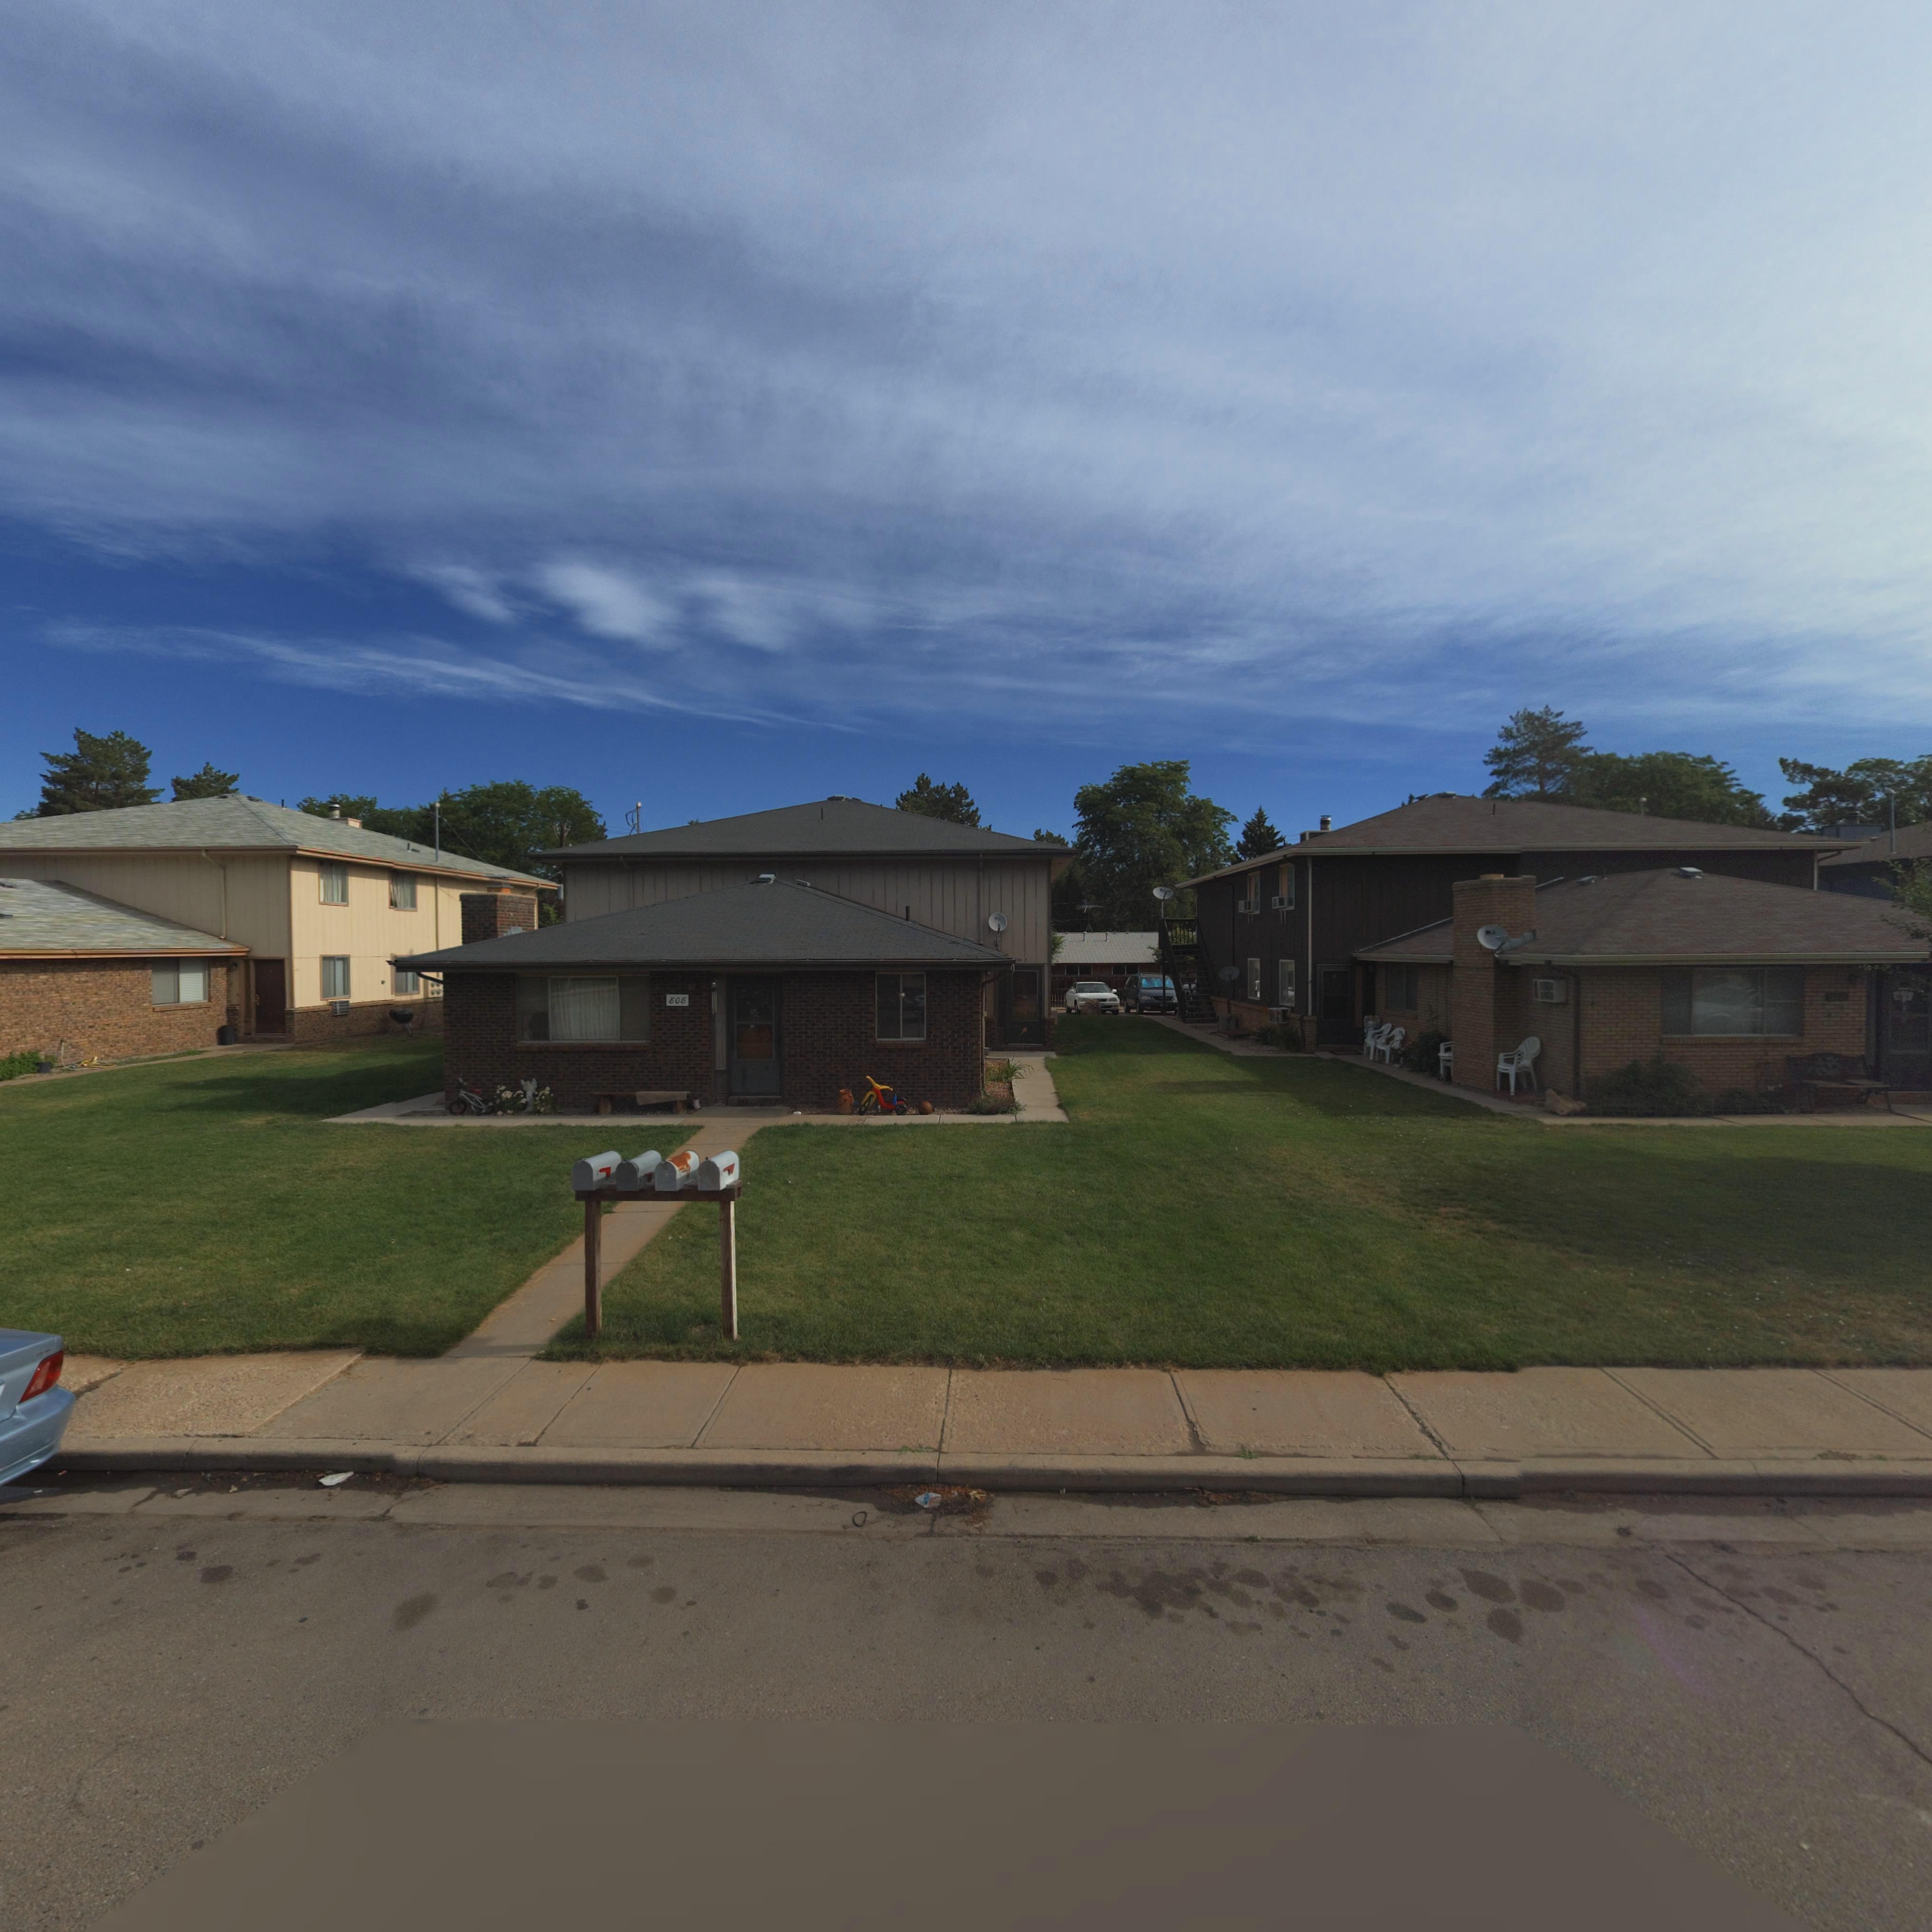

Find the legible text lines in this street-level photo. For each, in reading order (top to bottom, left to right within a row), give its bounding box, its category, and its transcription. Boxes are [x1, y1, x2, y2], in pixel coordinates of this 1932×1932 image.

[668, 996, 686, 1004] StreetNumber: 808